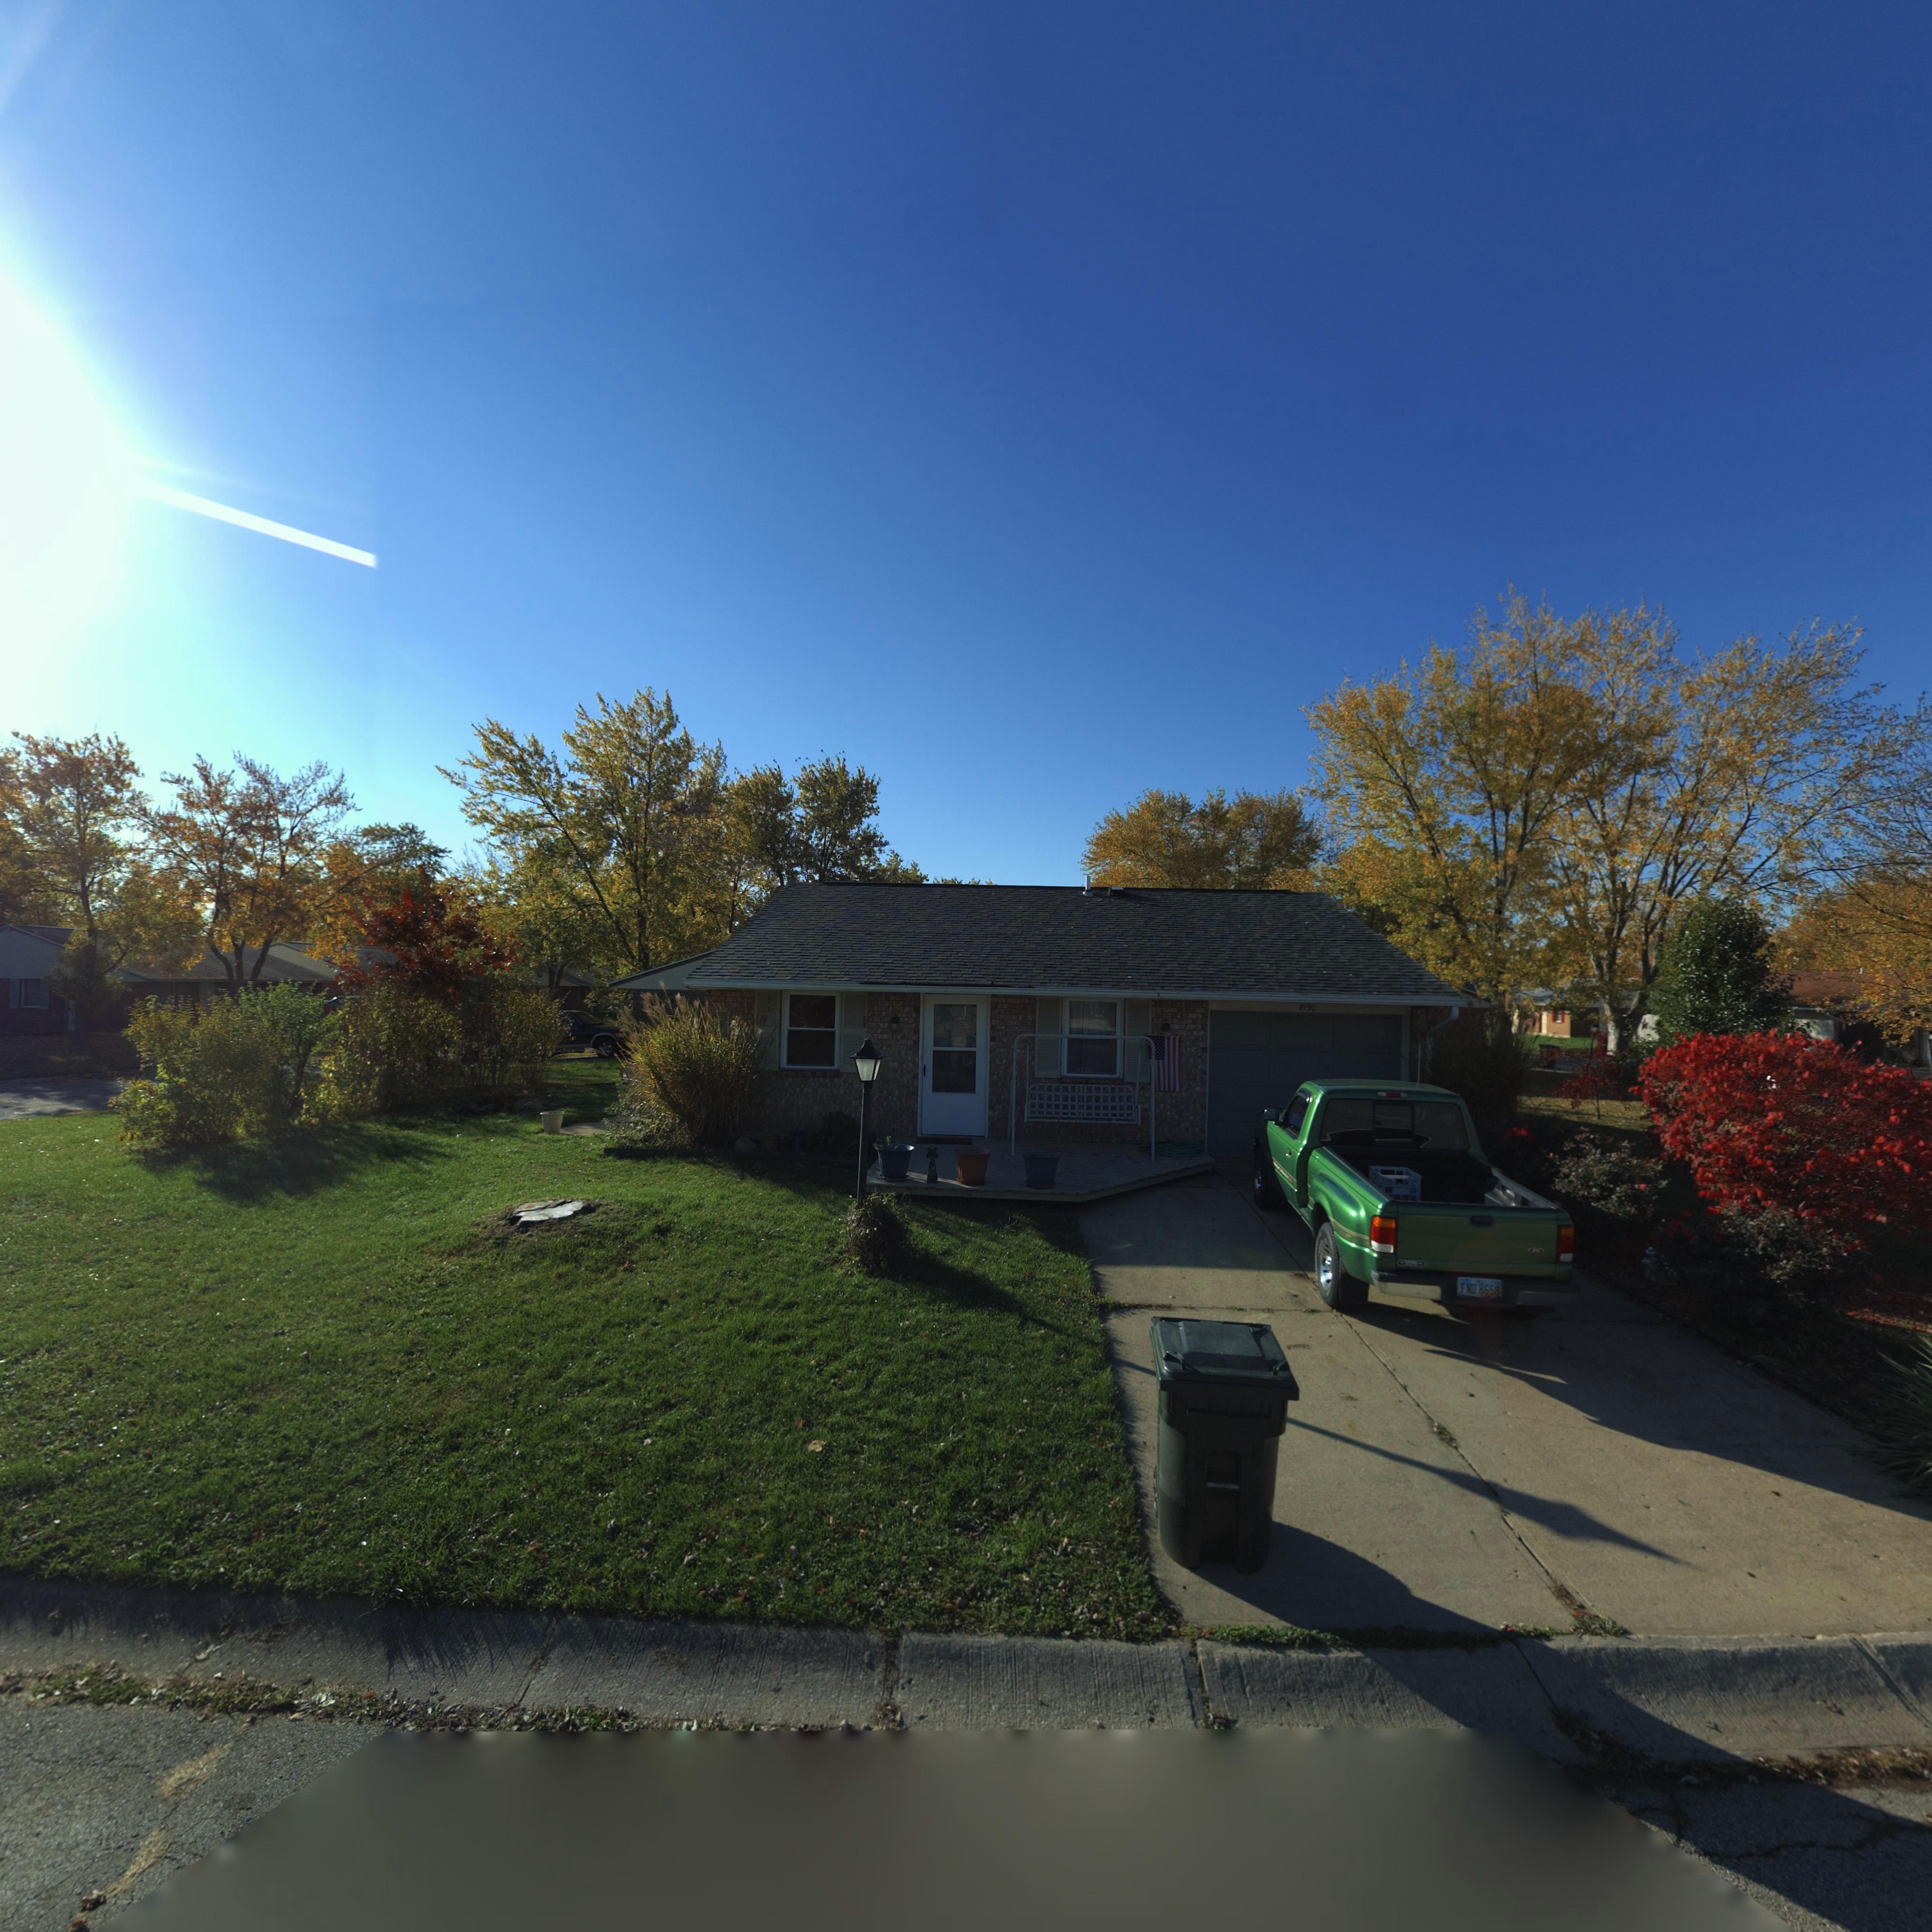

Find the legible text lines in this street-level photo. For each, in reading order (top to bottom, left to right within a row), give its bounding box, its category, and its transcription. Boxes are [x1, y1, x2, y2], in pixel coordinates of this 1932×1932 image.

[1299, 1003, 1316, 1011] StreetNumber: 8190